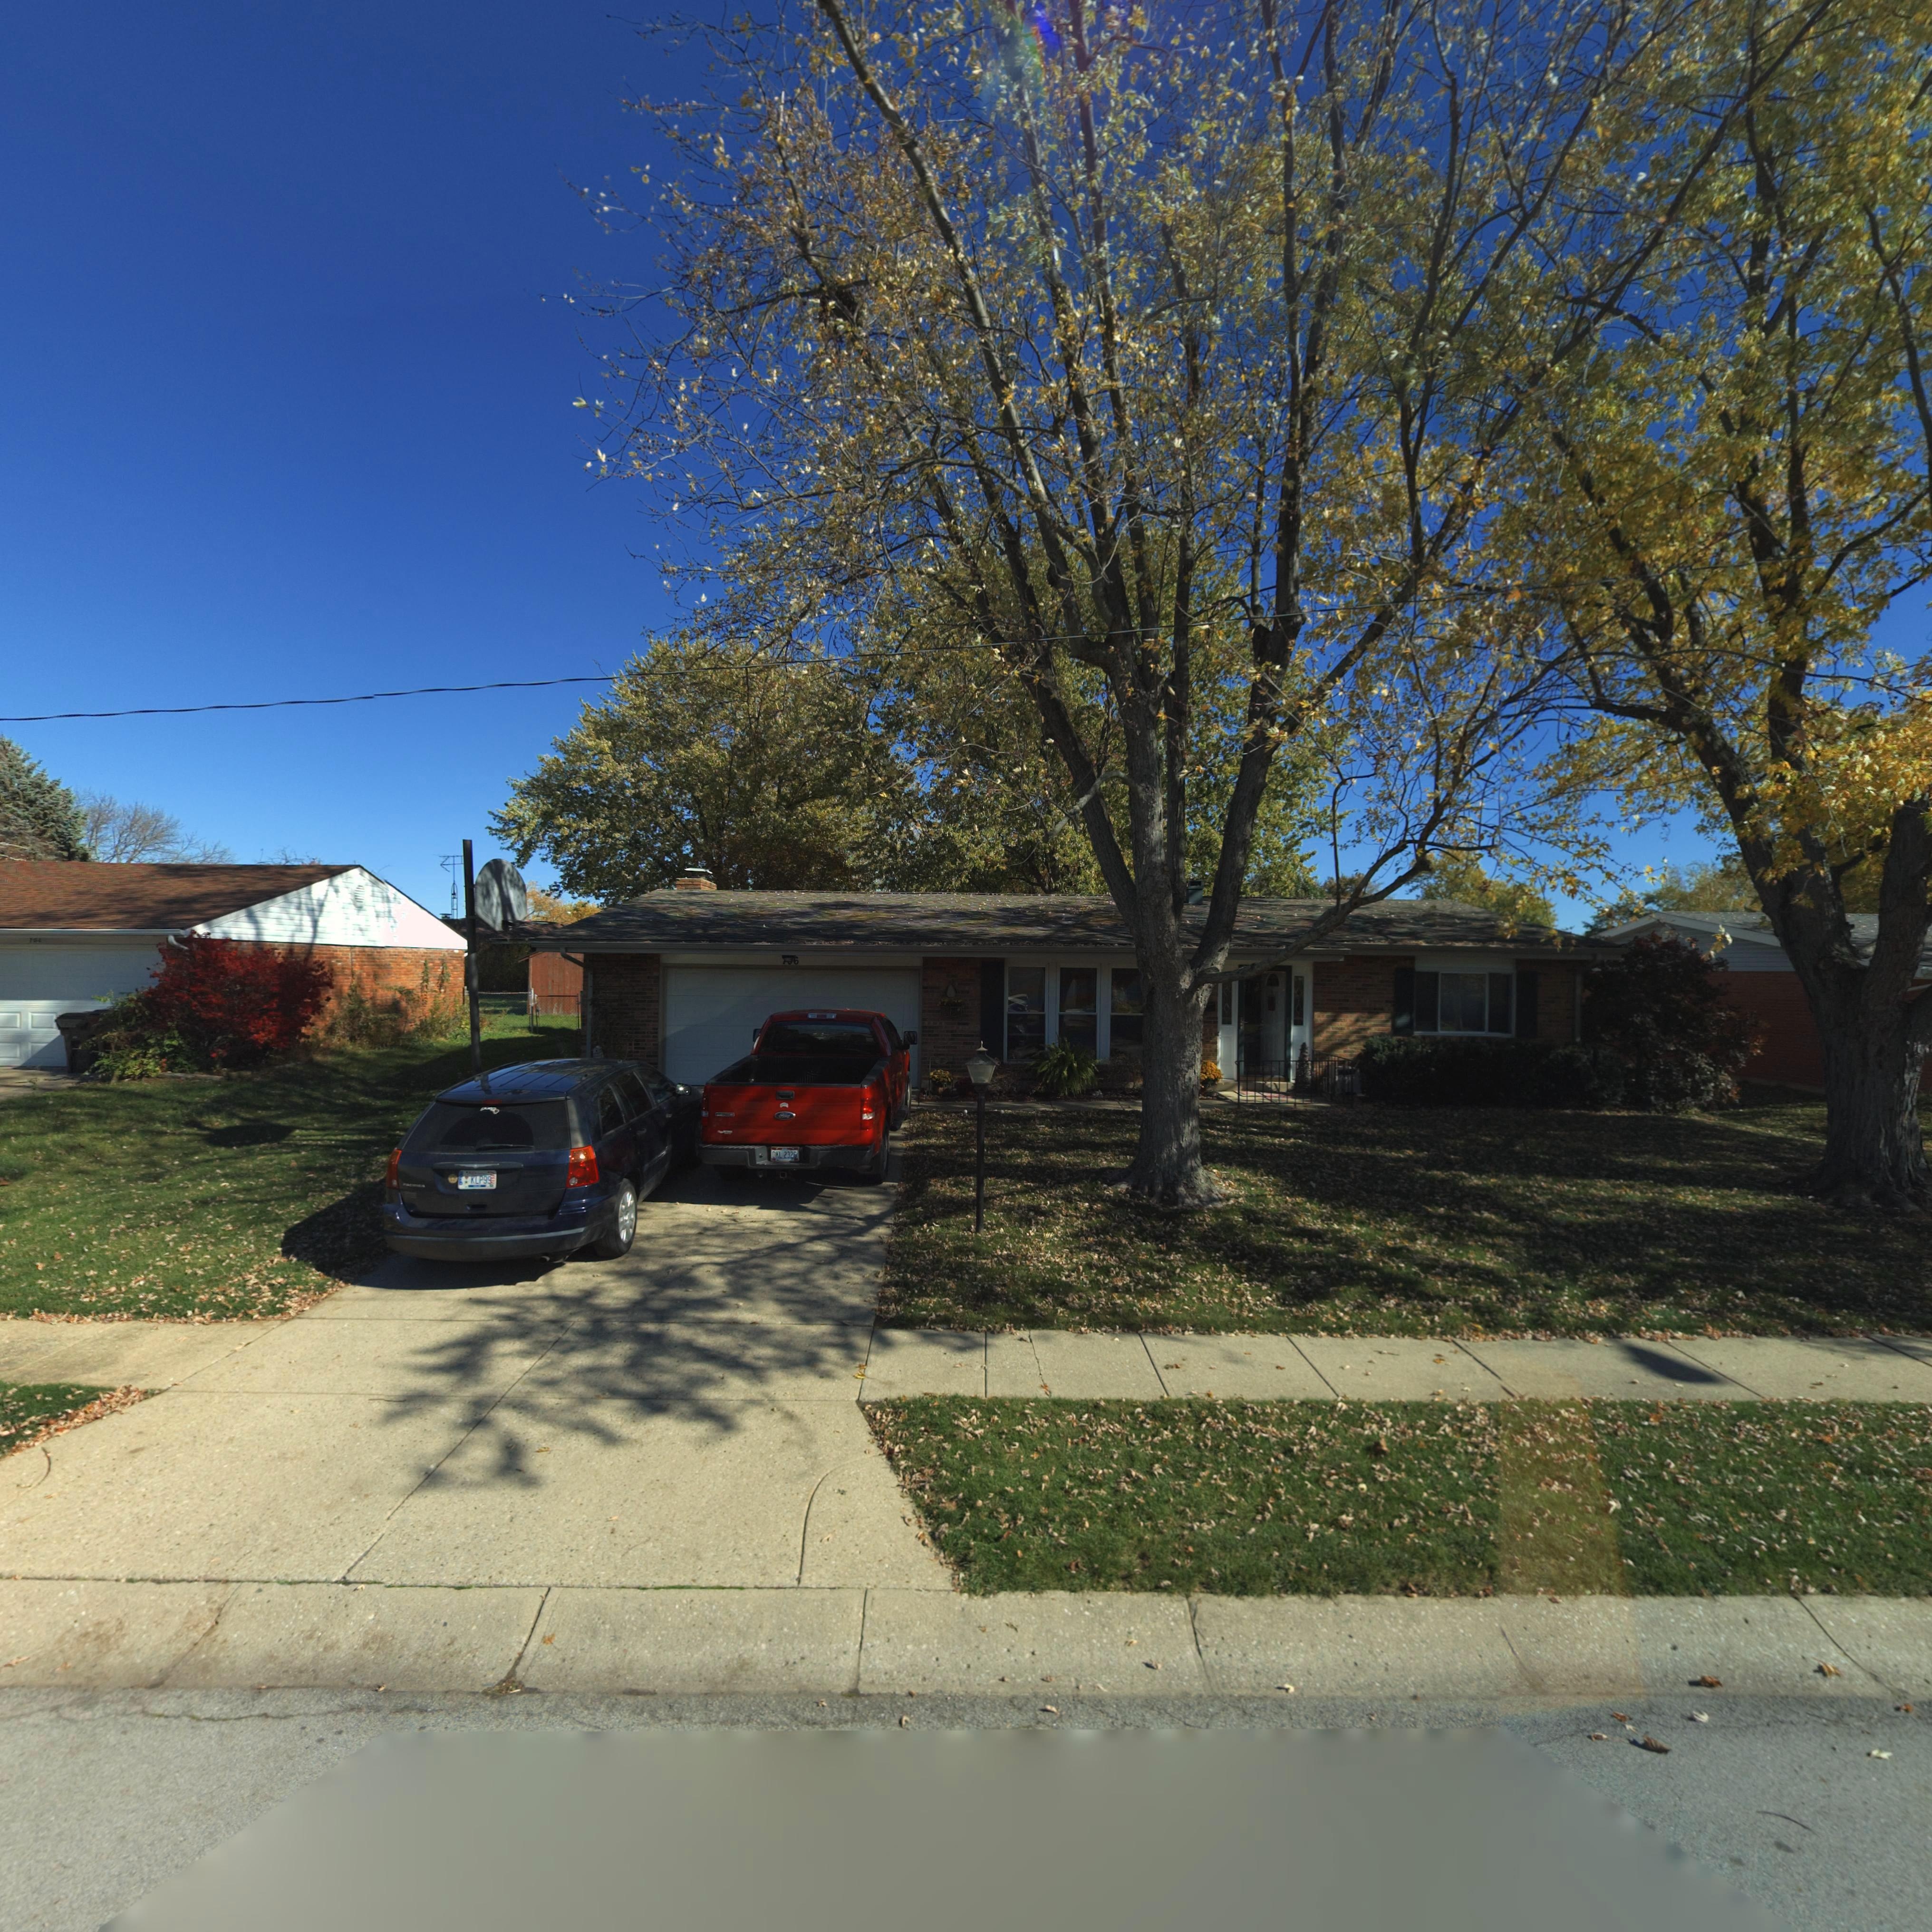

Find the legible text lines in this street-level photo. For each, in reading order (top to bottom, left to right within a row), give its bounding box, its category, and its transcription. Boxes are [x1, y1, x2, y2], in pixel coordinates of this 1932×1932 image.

[29, 937, 41, 943] StreetNumber: 70*
[793, 956, 799, 965] StreetNumber: 6